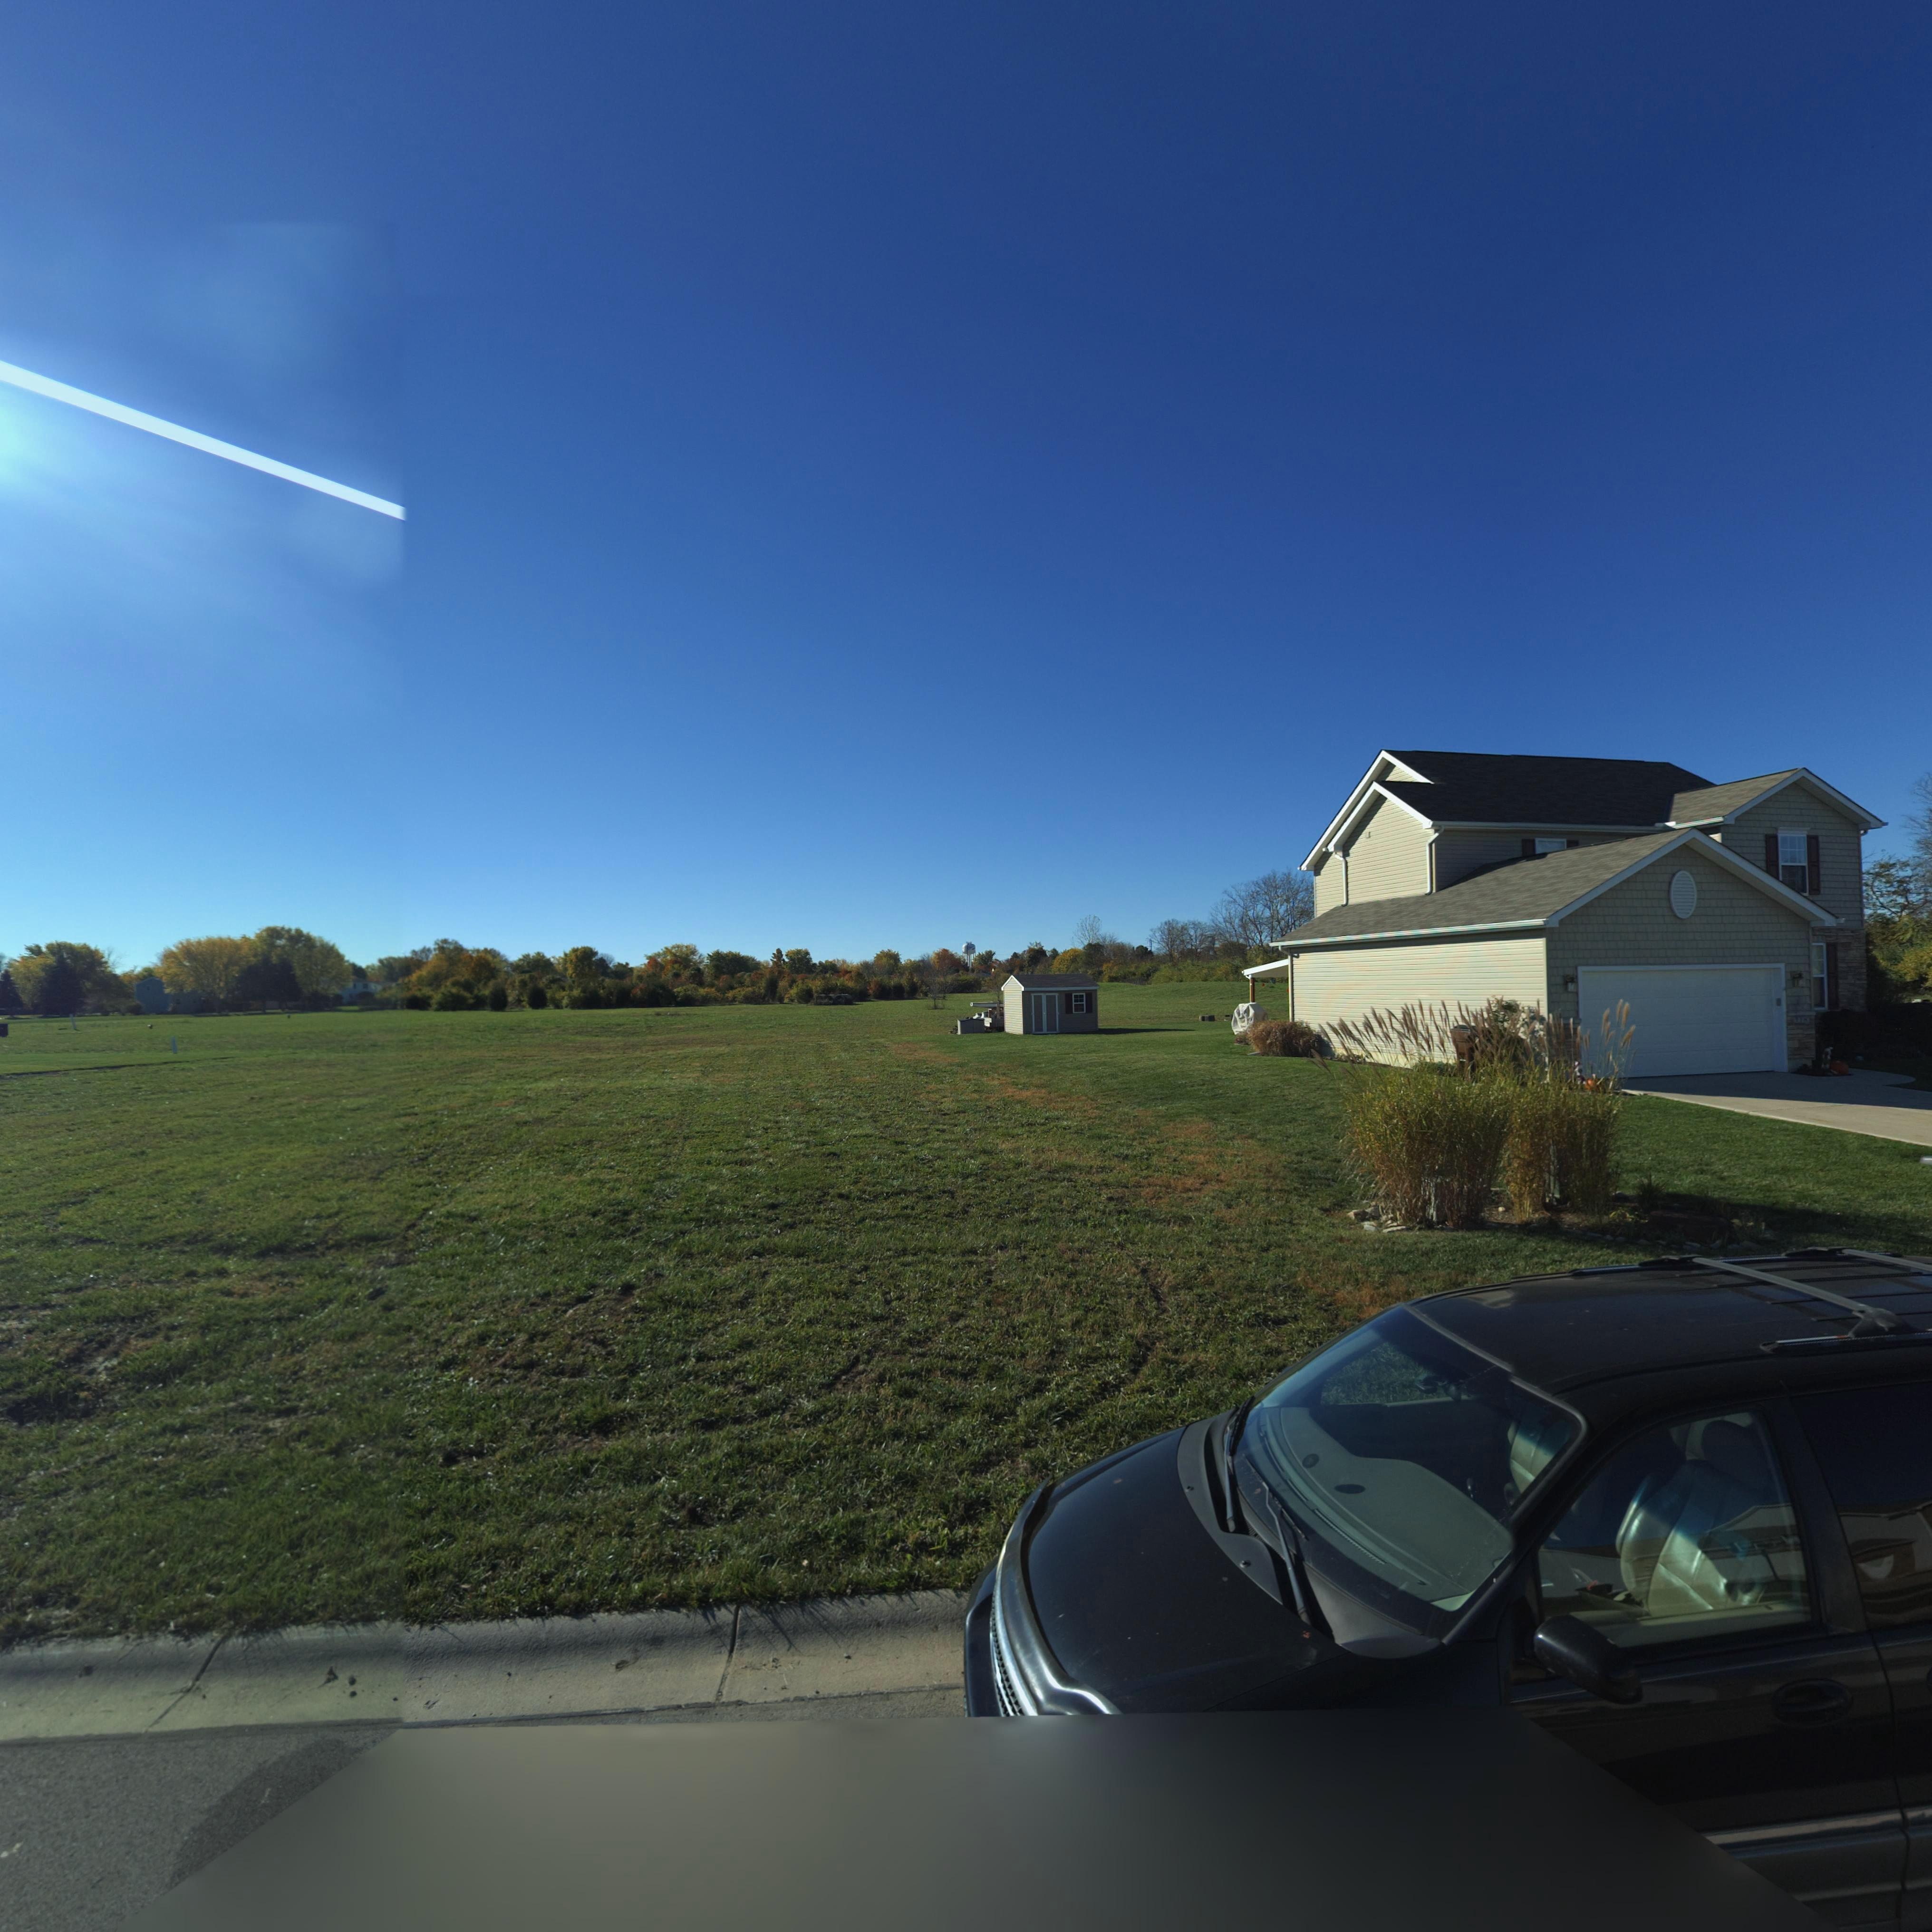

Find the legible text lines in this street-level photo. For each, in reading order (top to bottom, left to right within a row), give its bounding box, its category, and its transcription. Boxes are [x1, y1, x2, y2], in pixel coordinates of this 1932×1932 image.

[1795, 1016, 1808, 1023] StreetNumber: 118